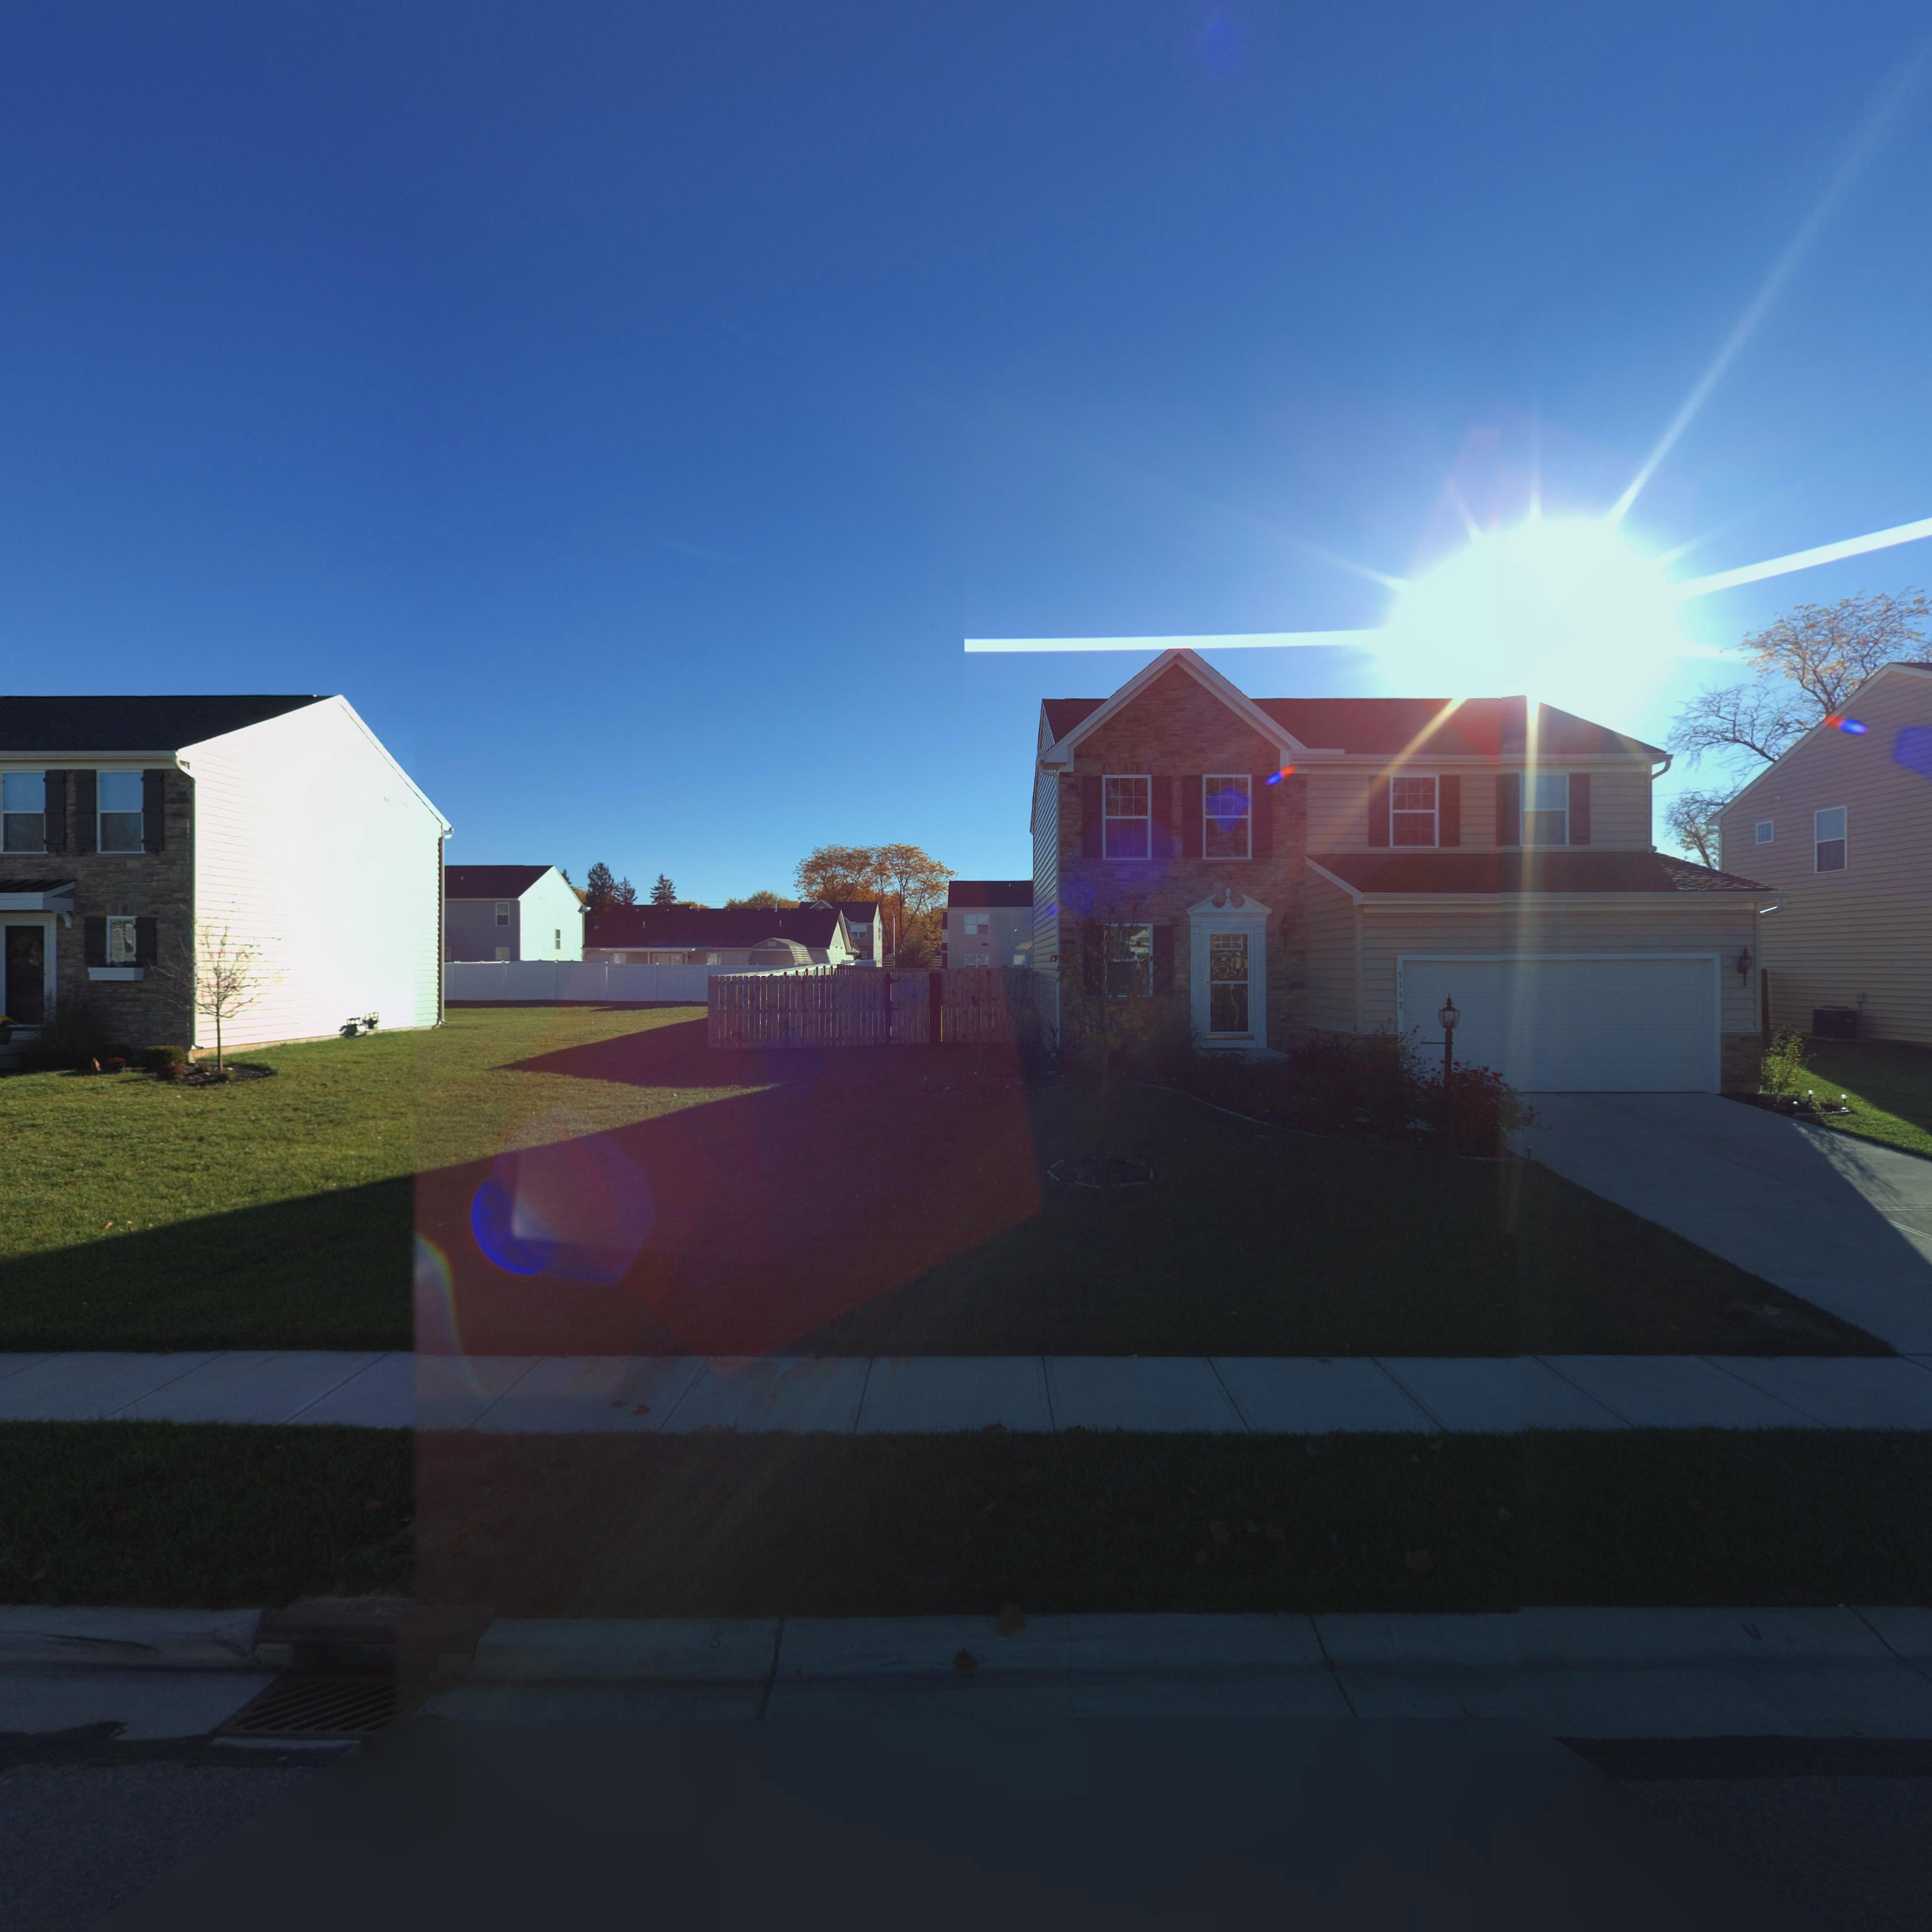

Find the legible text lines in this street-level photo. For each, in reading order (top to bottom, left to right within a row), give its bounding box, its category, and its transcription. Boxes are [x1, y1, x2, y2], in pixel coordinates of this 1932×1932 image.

[1397, 971, 1404, 1010] StreetNumber: 5152